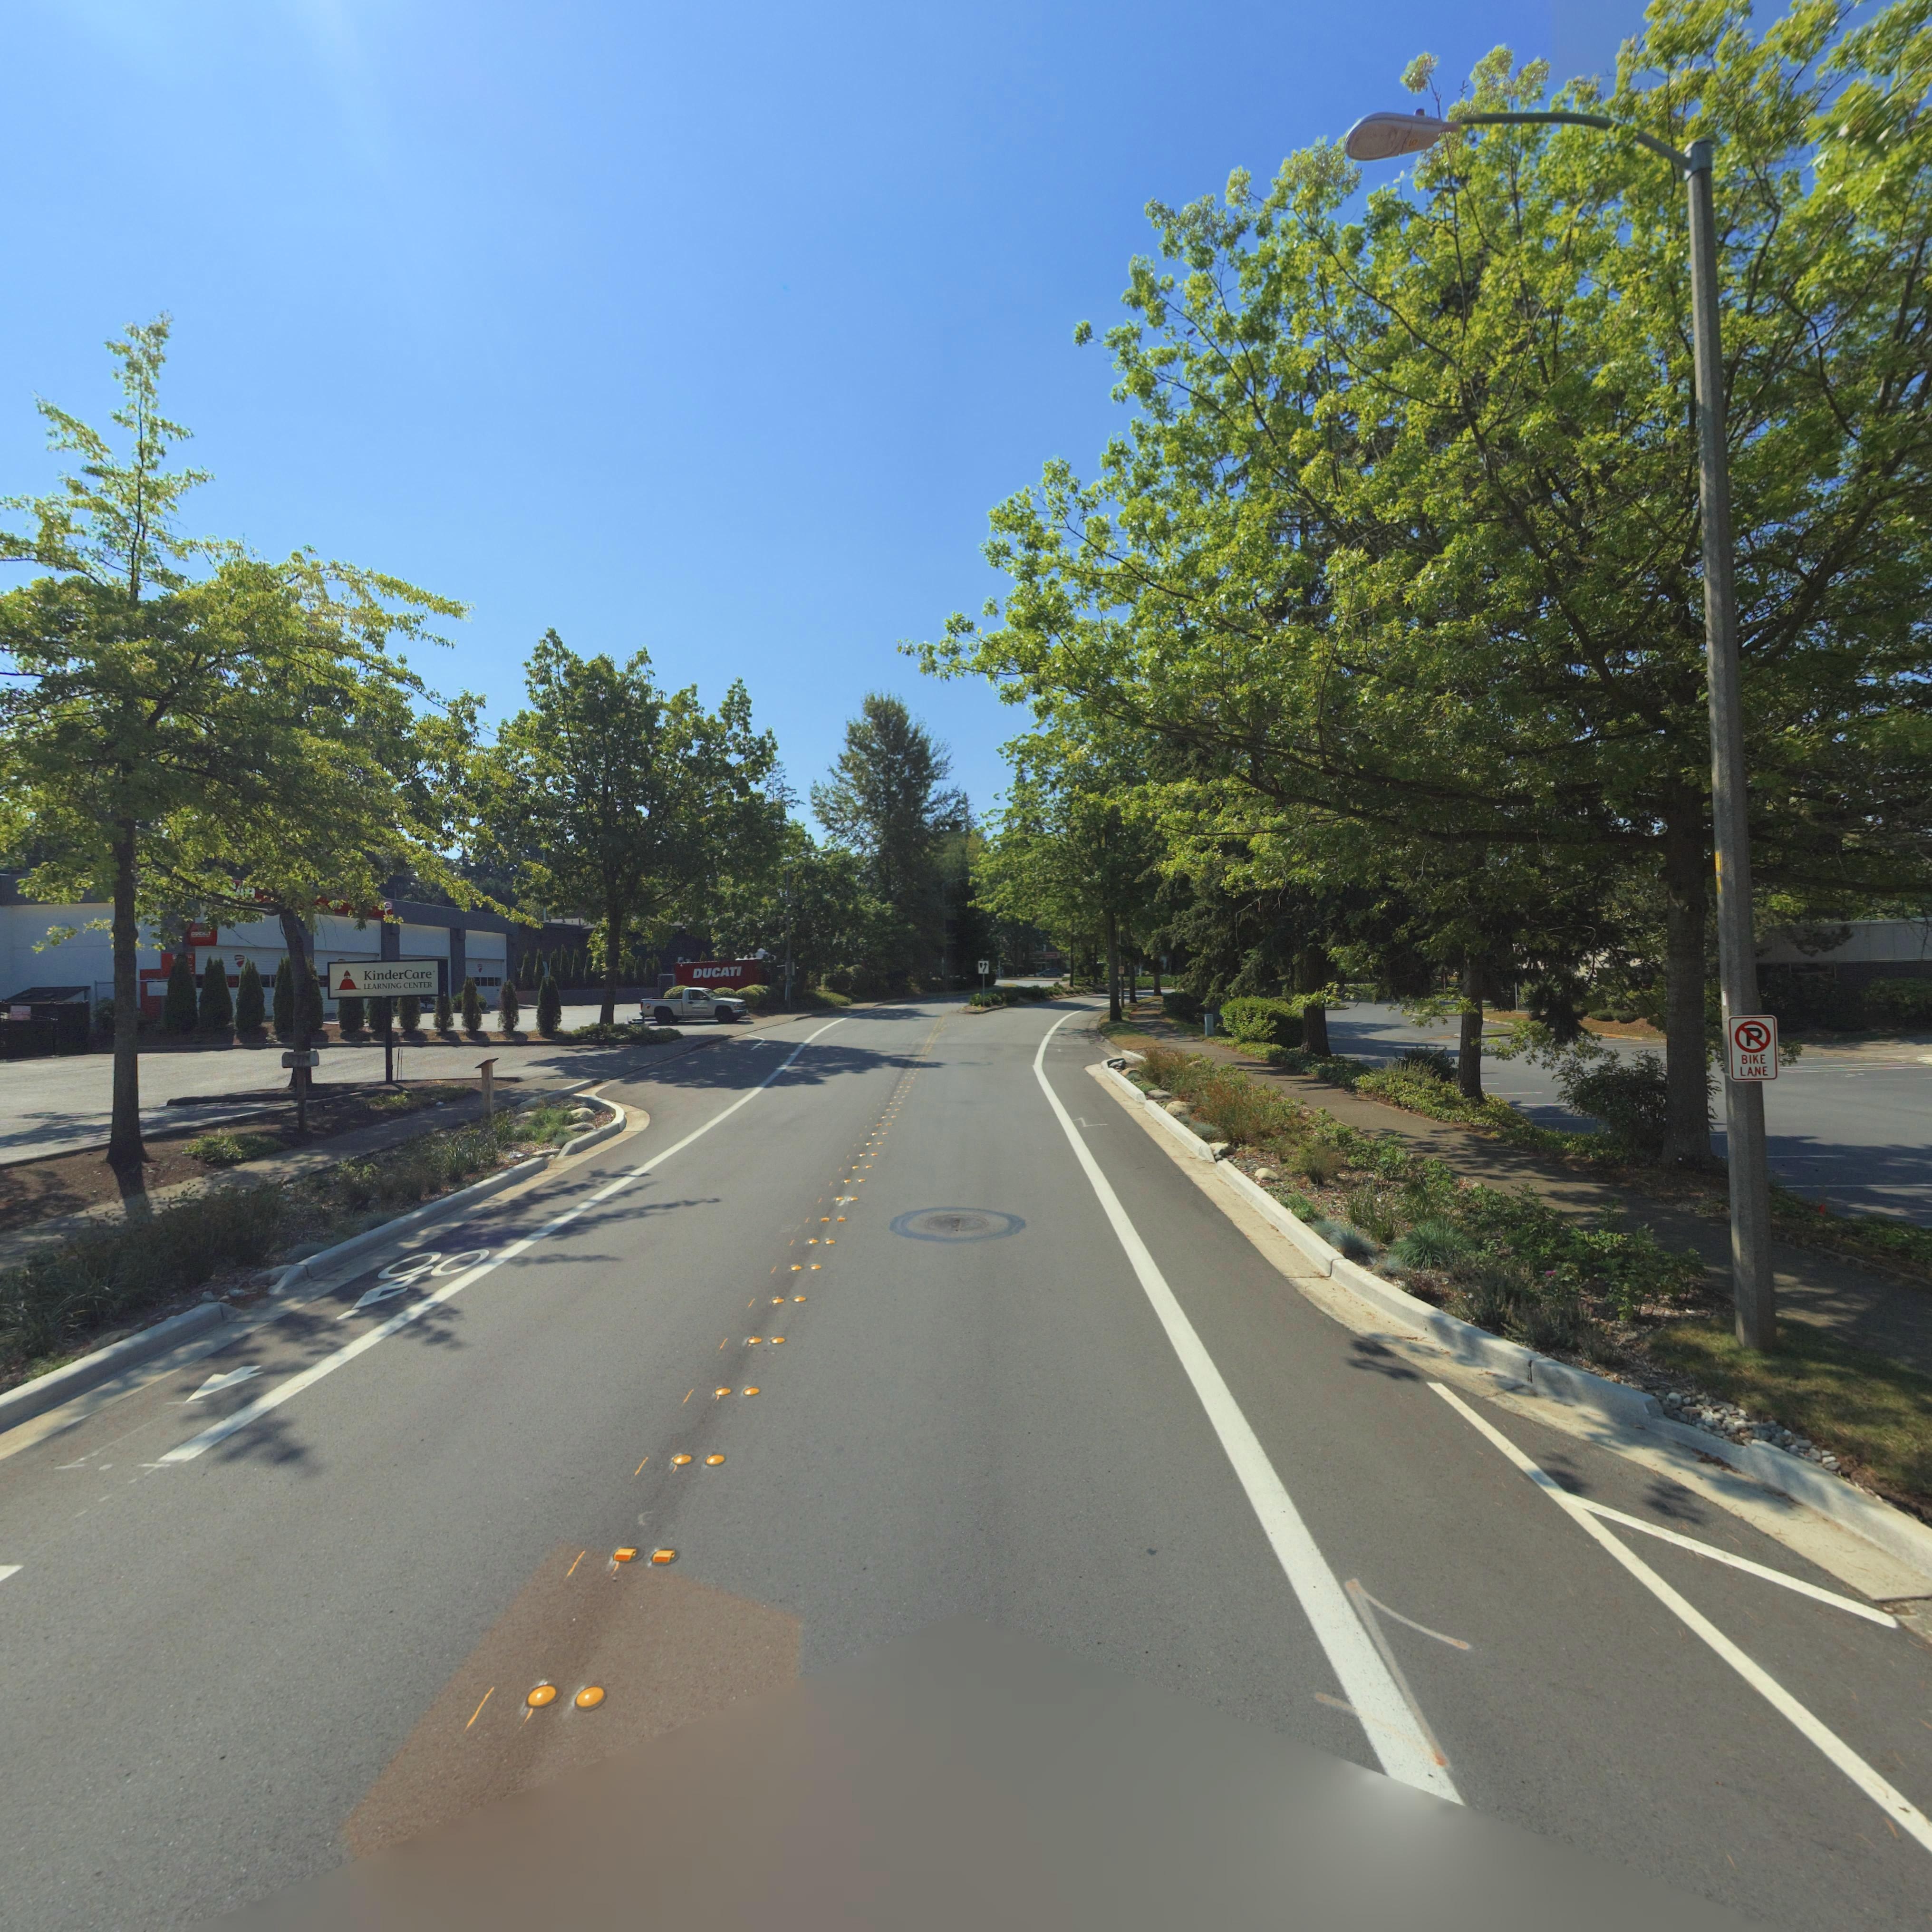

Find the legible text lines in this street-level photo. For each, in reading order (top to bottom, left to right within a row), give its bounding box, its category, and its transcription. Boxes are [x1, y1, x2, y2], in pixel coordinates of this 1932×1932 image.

[364, 968, 432, 980] BusinessName: KinderCare
[692, 966, 742, 978] BusinessName: DUCATI
[363, 981, 433, 989] BusinessName: LEARNING CENTER